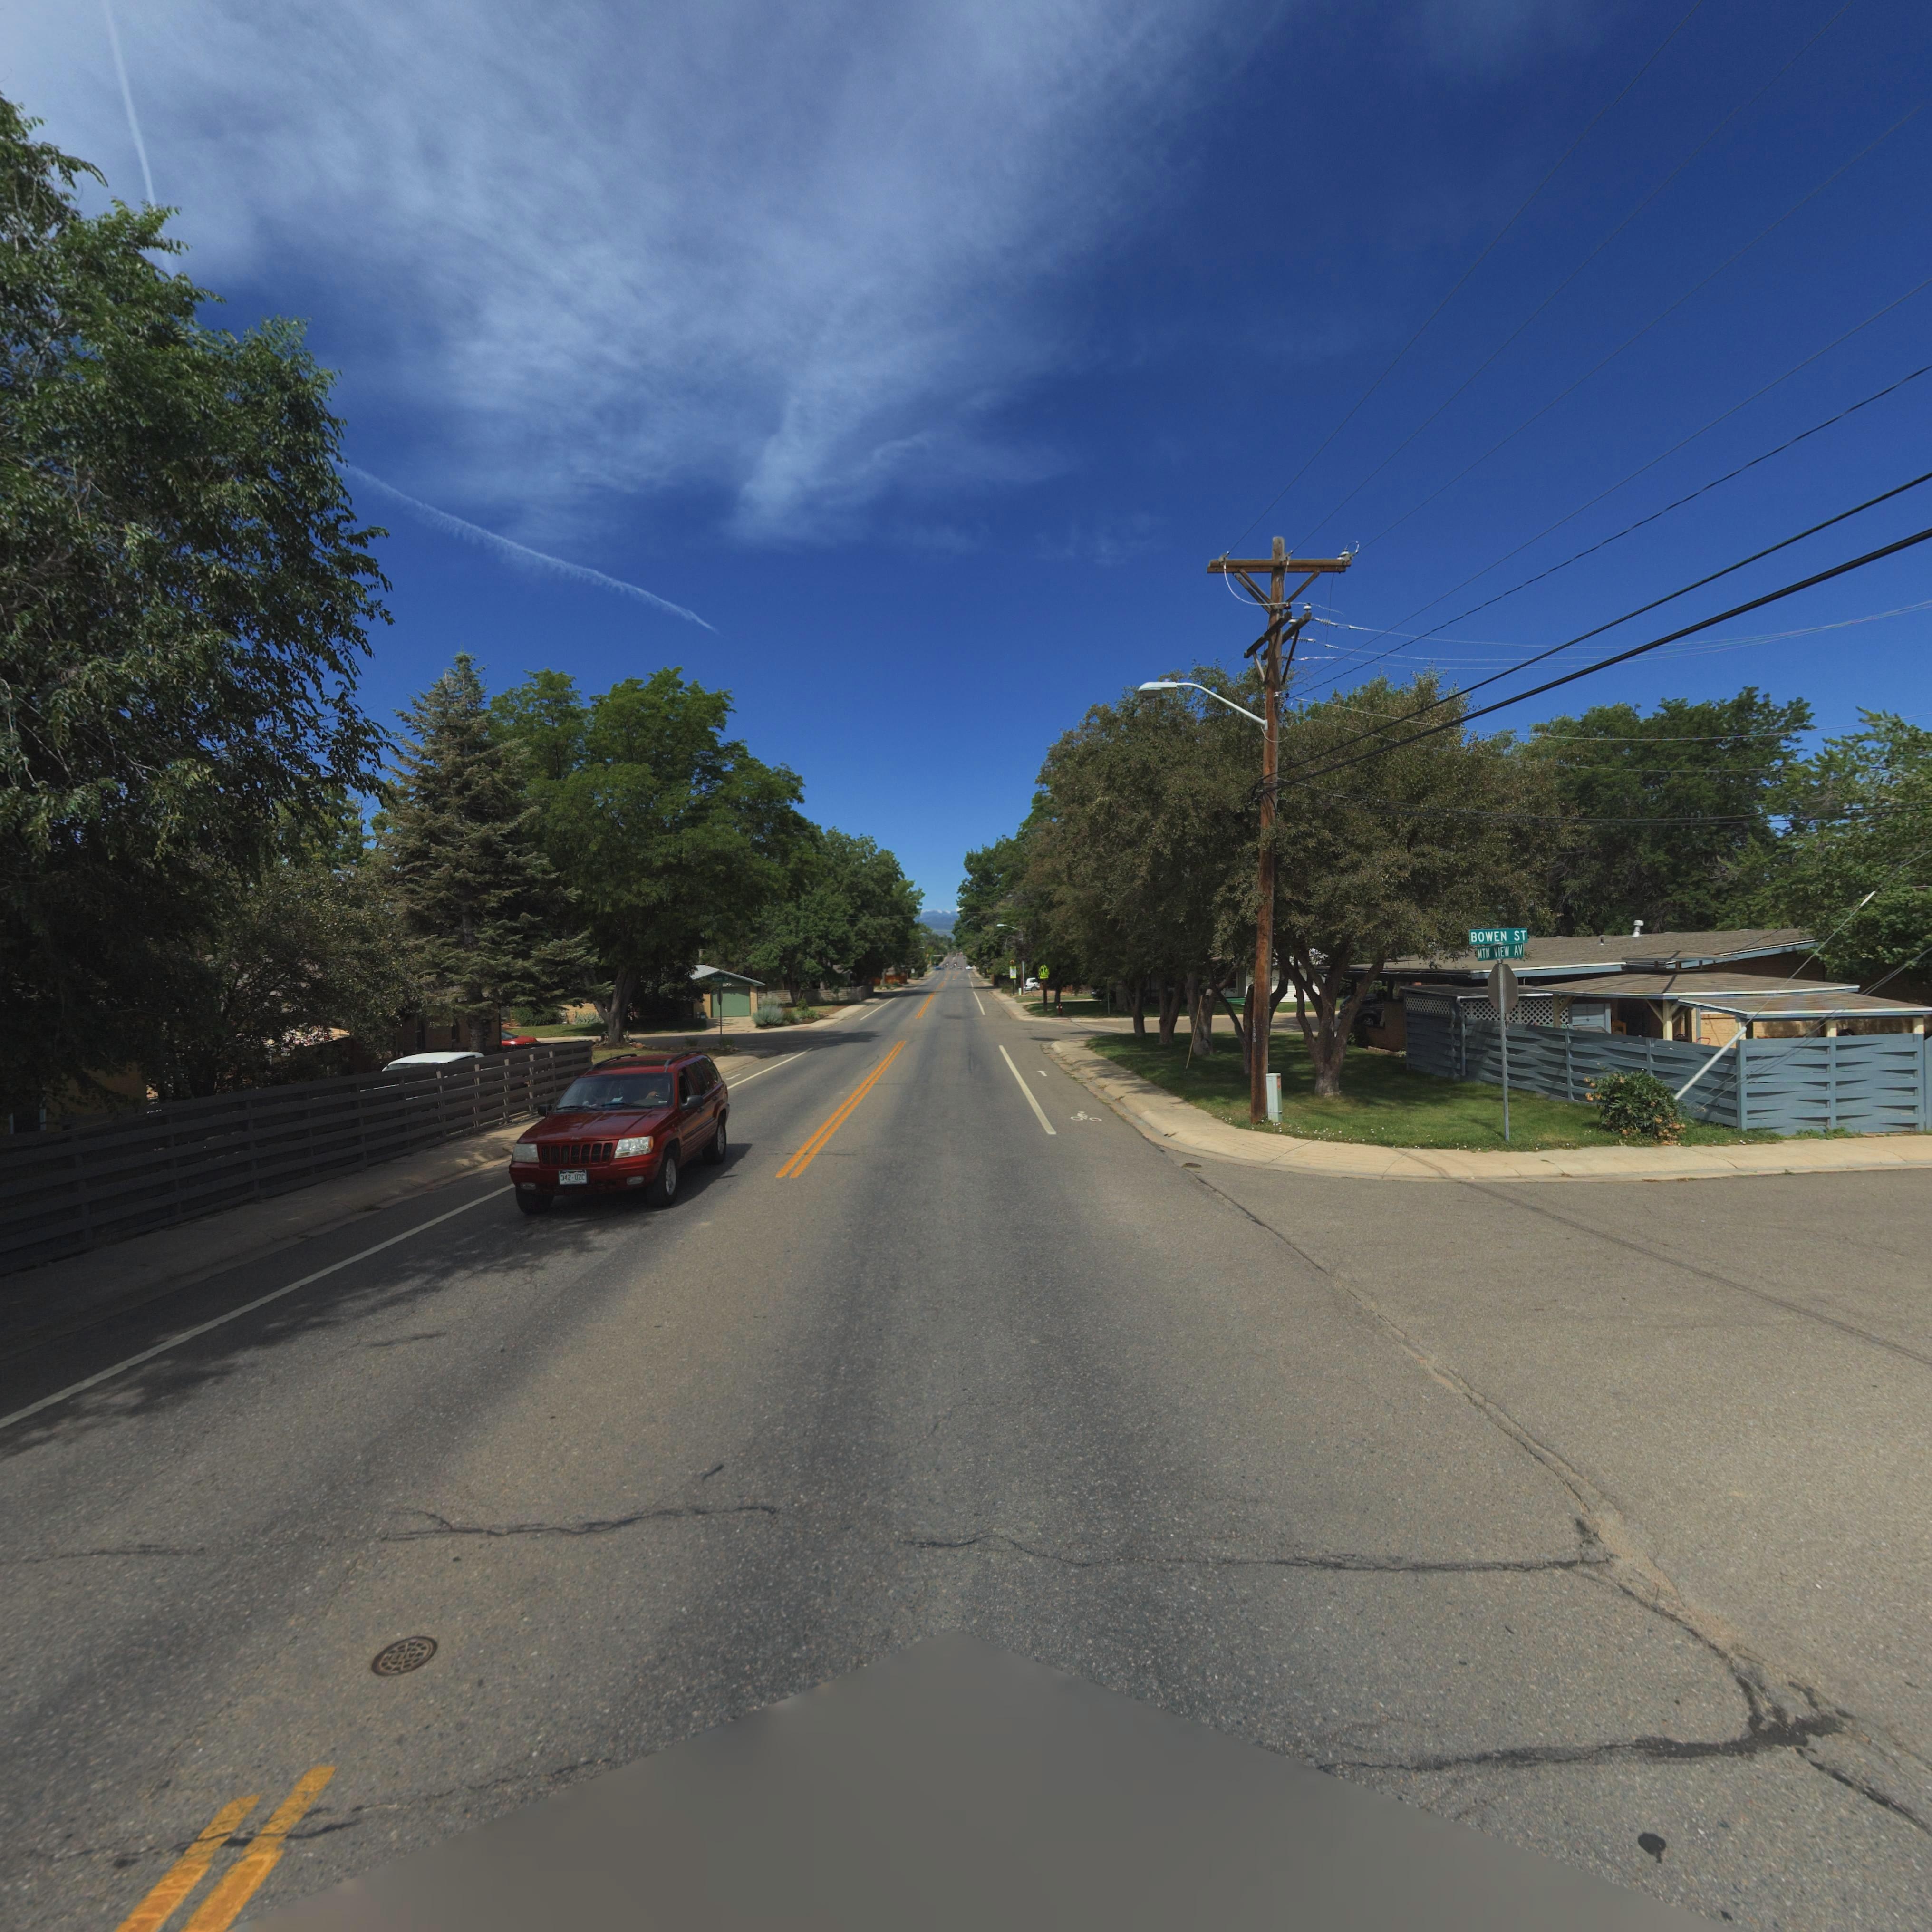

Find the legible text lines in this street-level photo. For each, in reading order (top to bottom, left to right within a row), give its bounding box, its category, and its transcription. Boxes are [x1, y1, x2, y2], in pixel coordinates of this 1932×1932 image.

[1470, 930, 1526, 942] StreetName: BOWEN ST
[1477, 943, 1523, 959] StreetName: MTN VIEW AV